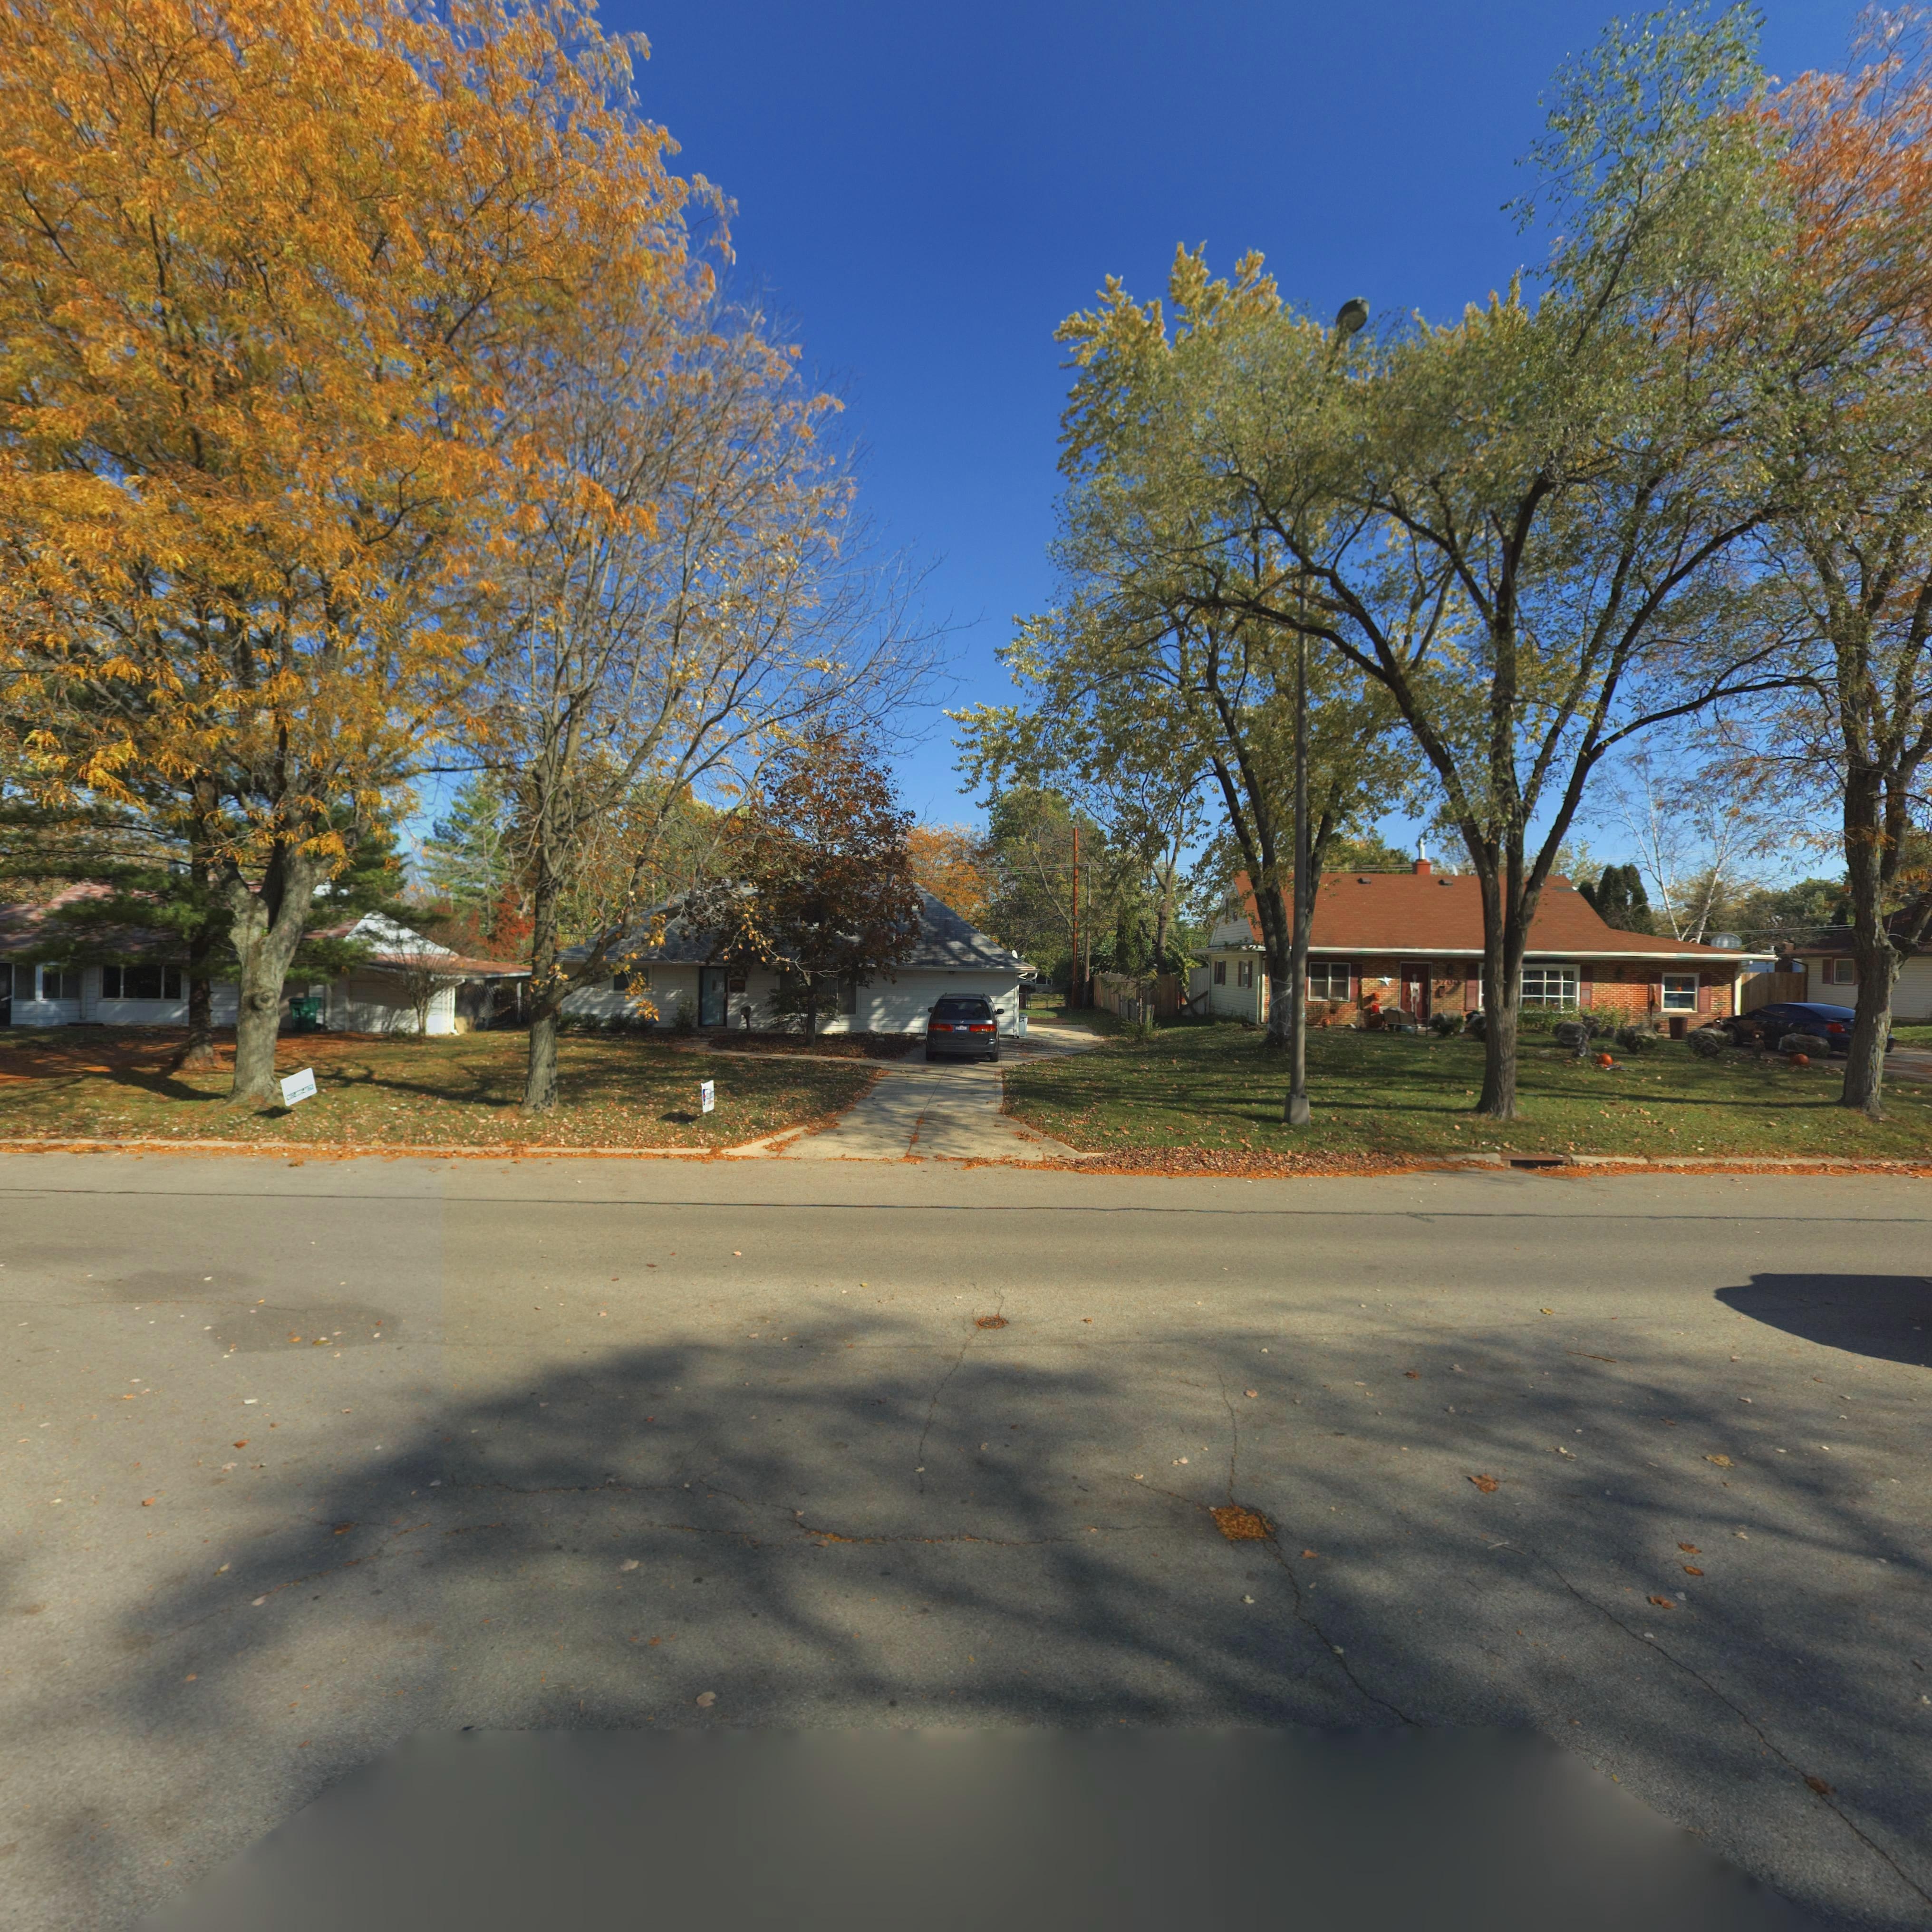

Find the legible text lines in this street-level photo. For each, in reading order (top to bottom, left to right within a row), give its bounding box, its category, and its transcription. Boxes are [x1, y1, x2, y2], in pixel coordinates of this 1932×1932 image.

[1434, 978, 1460, 985] StreetNumber: 3700